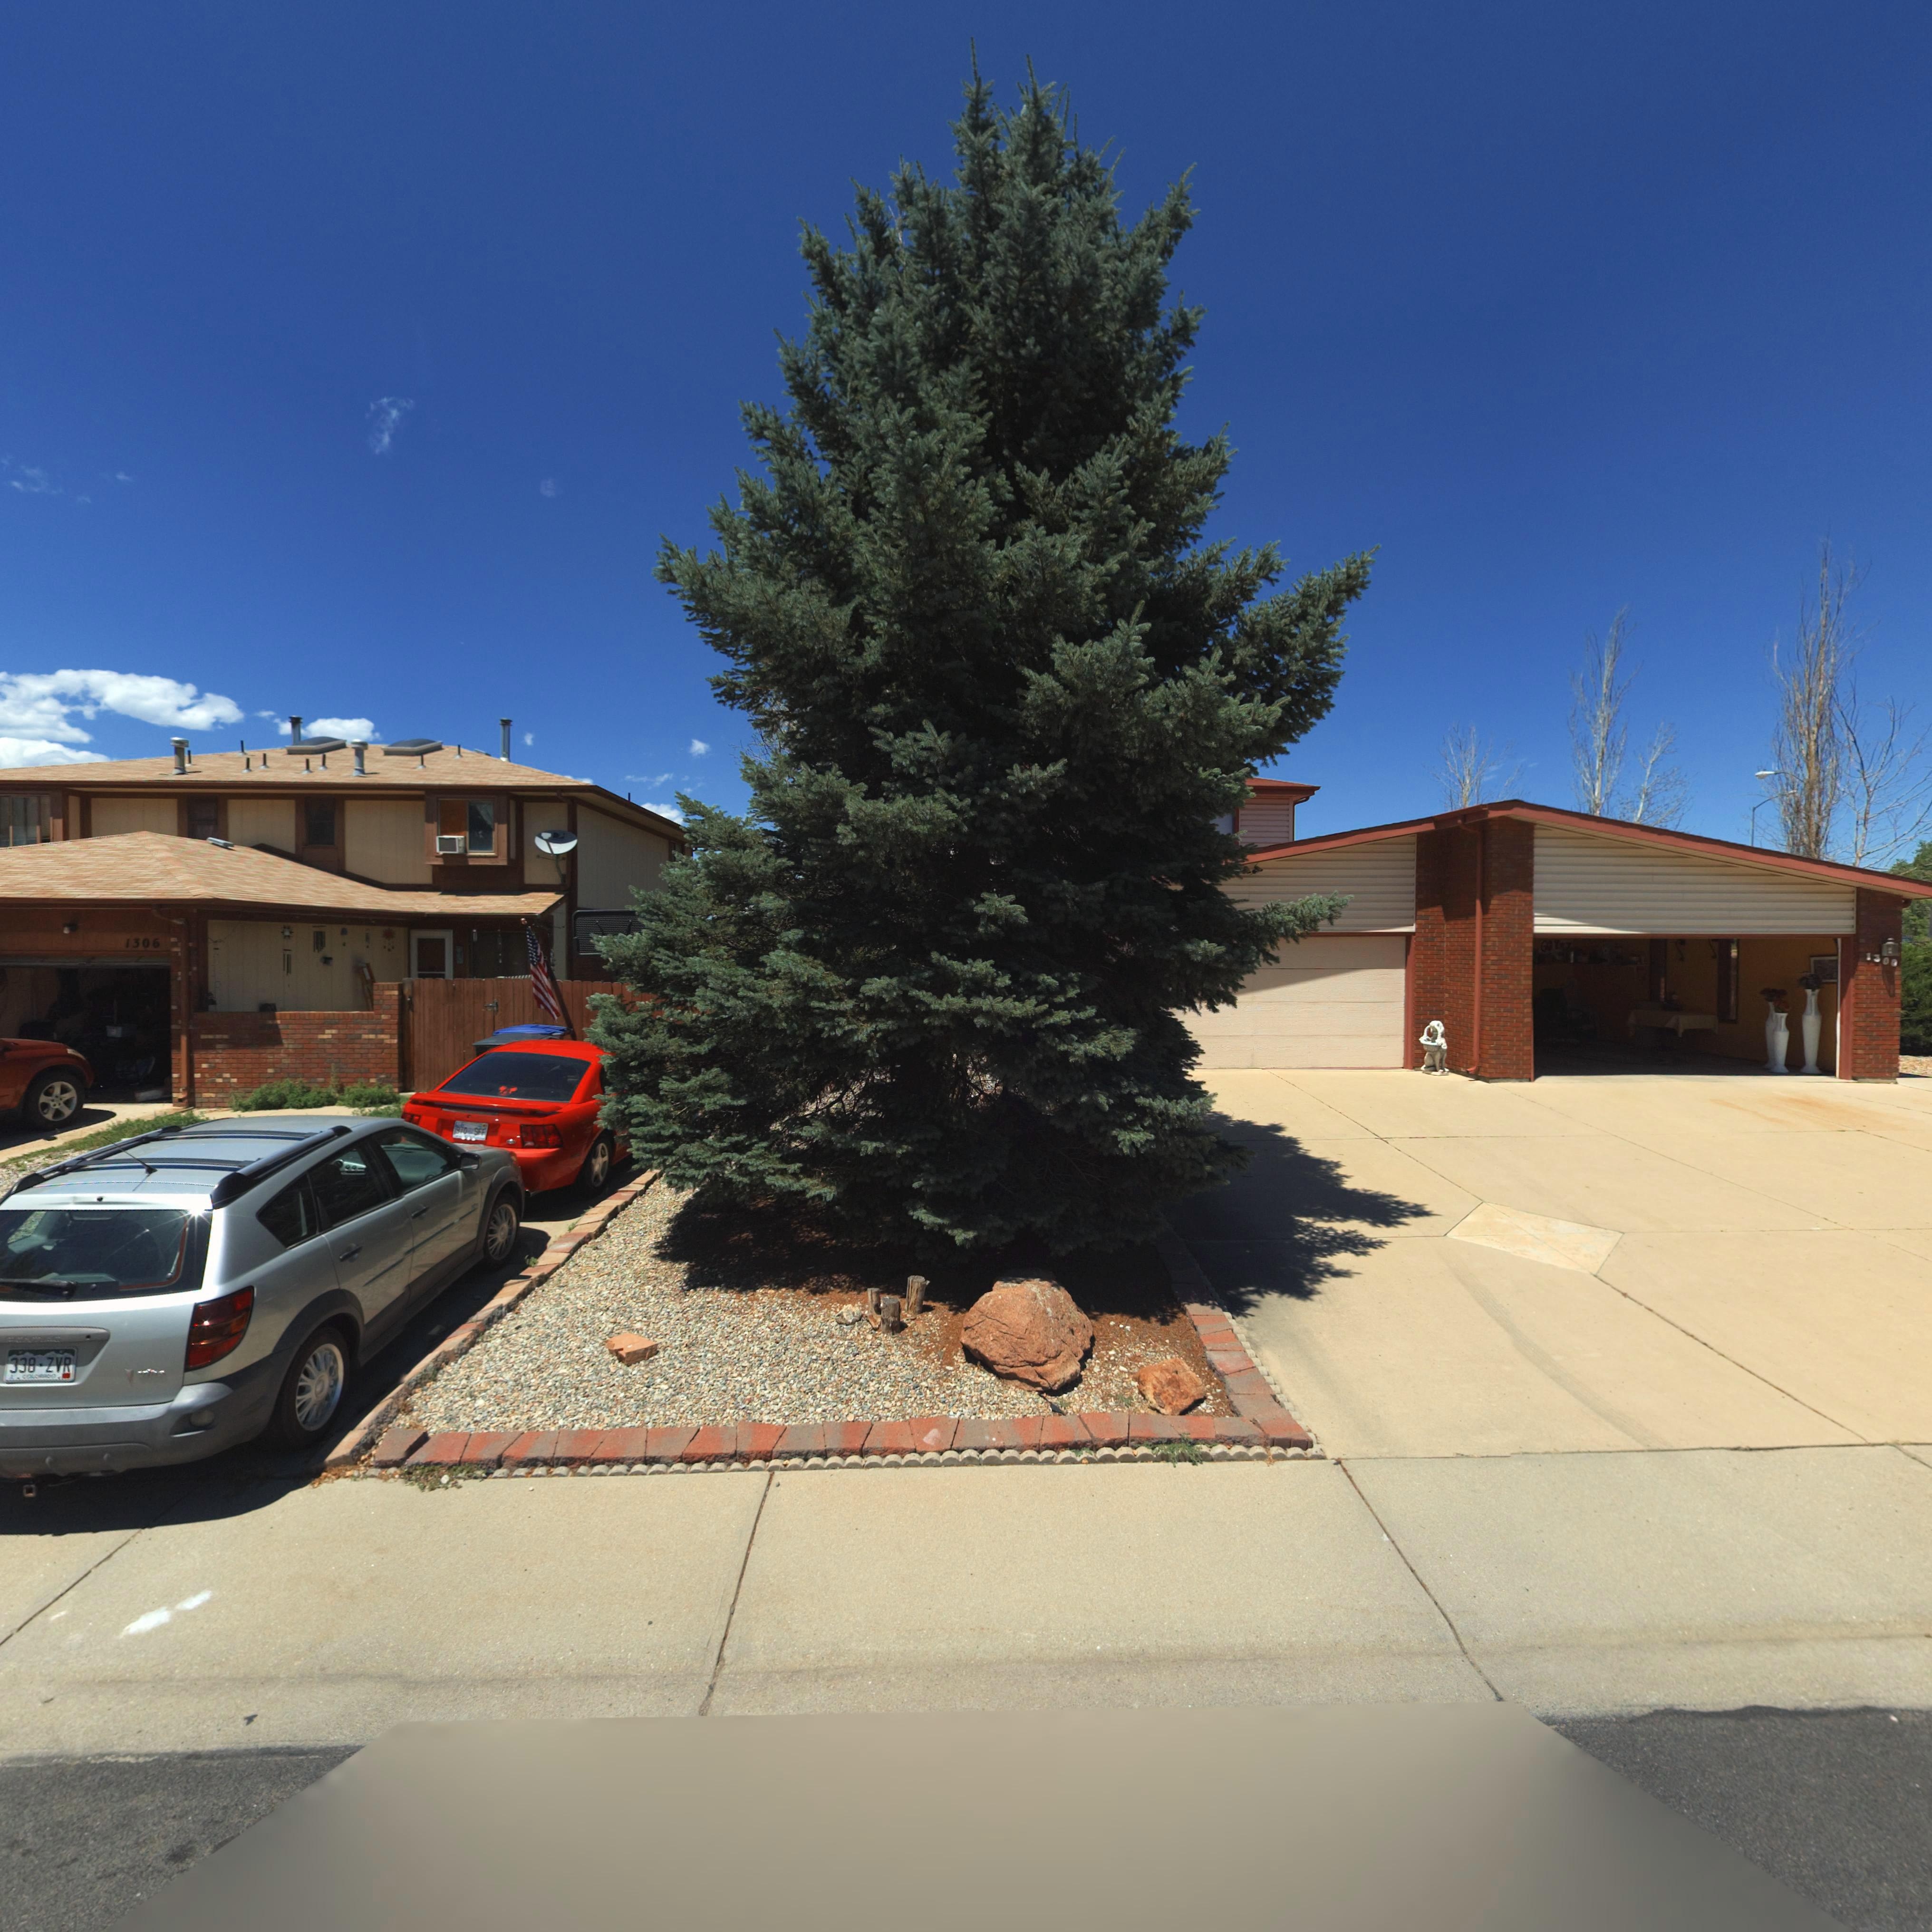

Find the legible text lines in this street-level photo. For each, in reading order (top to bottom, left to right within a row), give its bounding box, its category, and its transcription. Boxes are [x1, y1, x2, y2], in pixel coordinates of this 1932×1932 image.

[123, 936, 161, 950] StreetNumber: 1306
[1865, 952, 1899, 967] StreetNumber: 1300